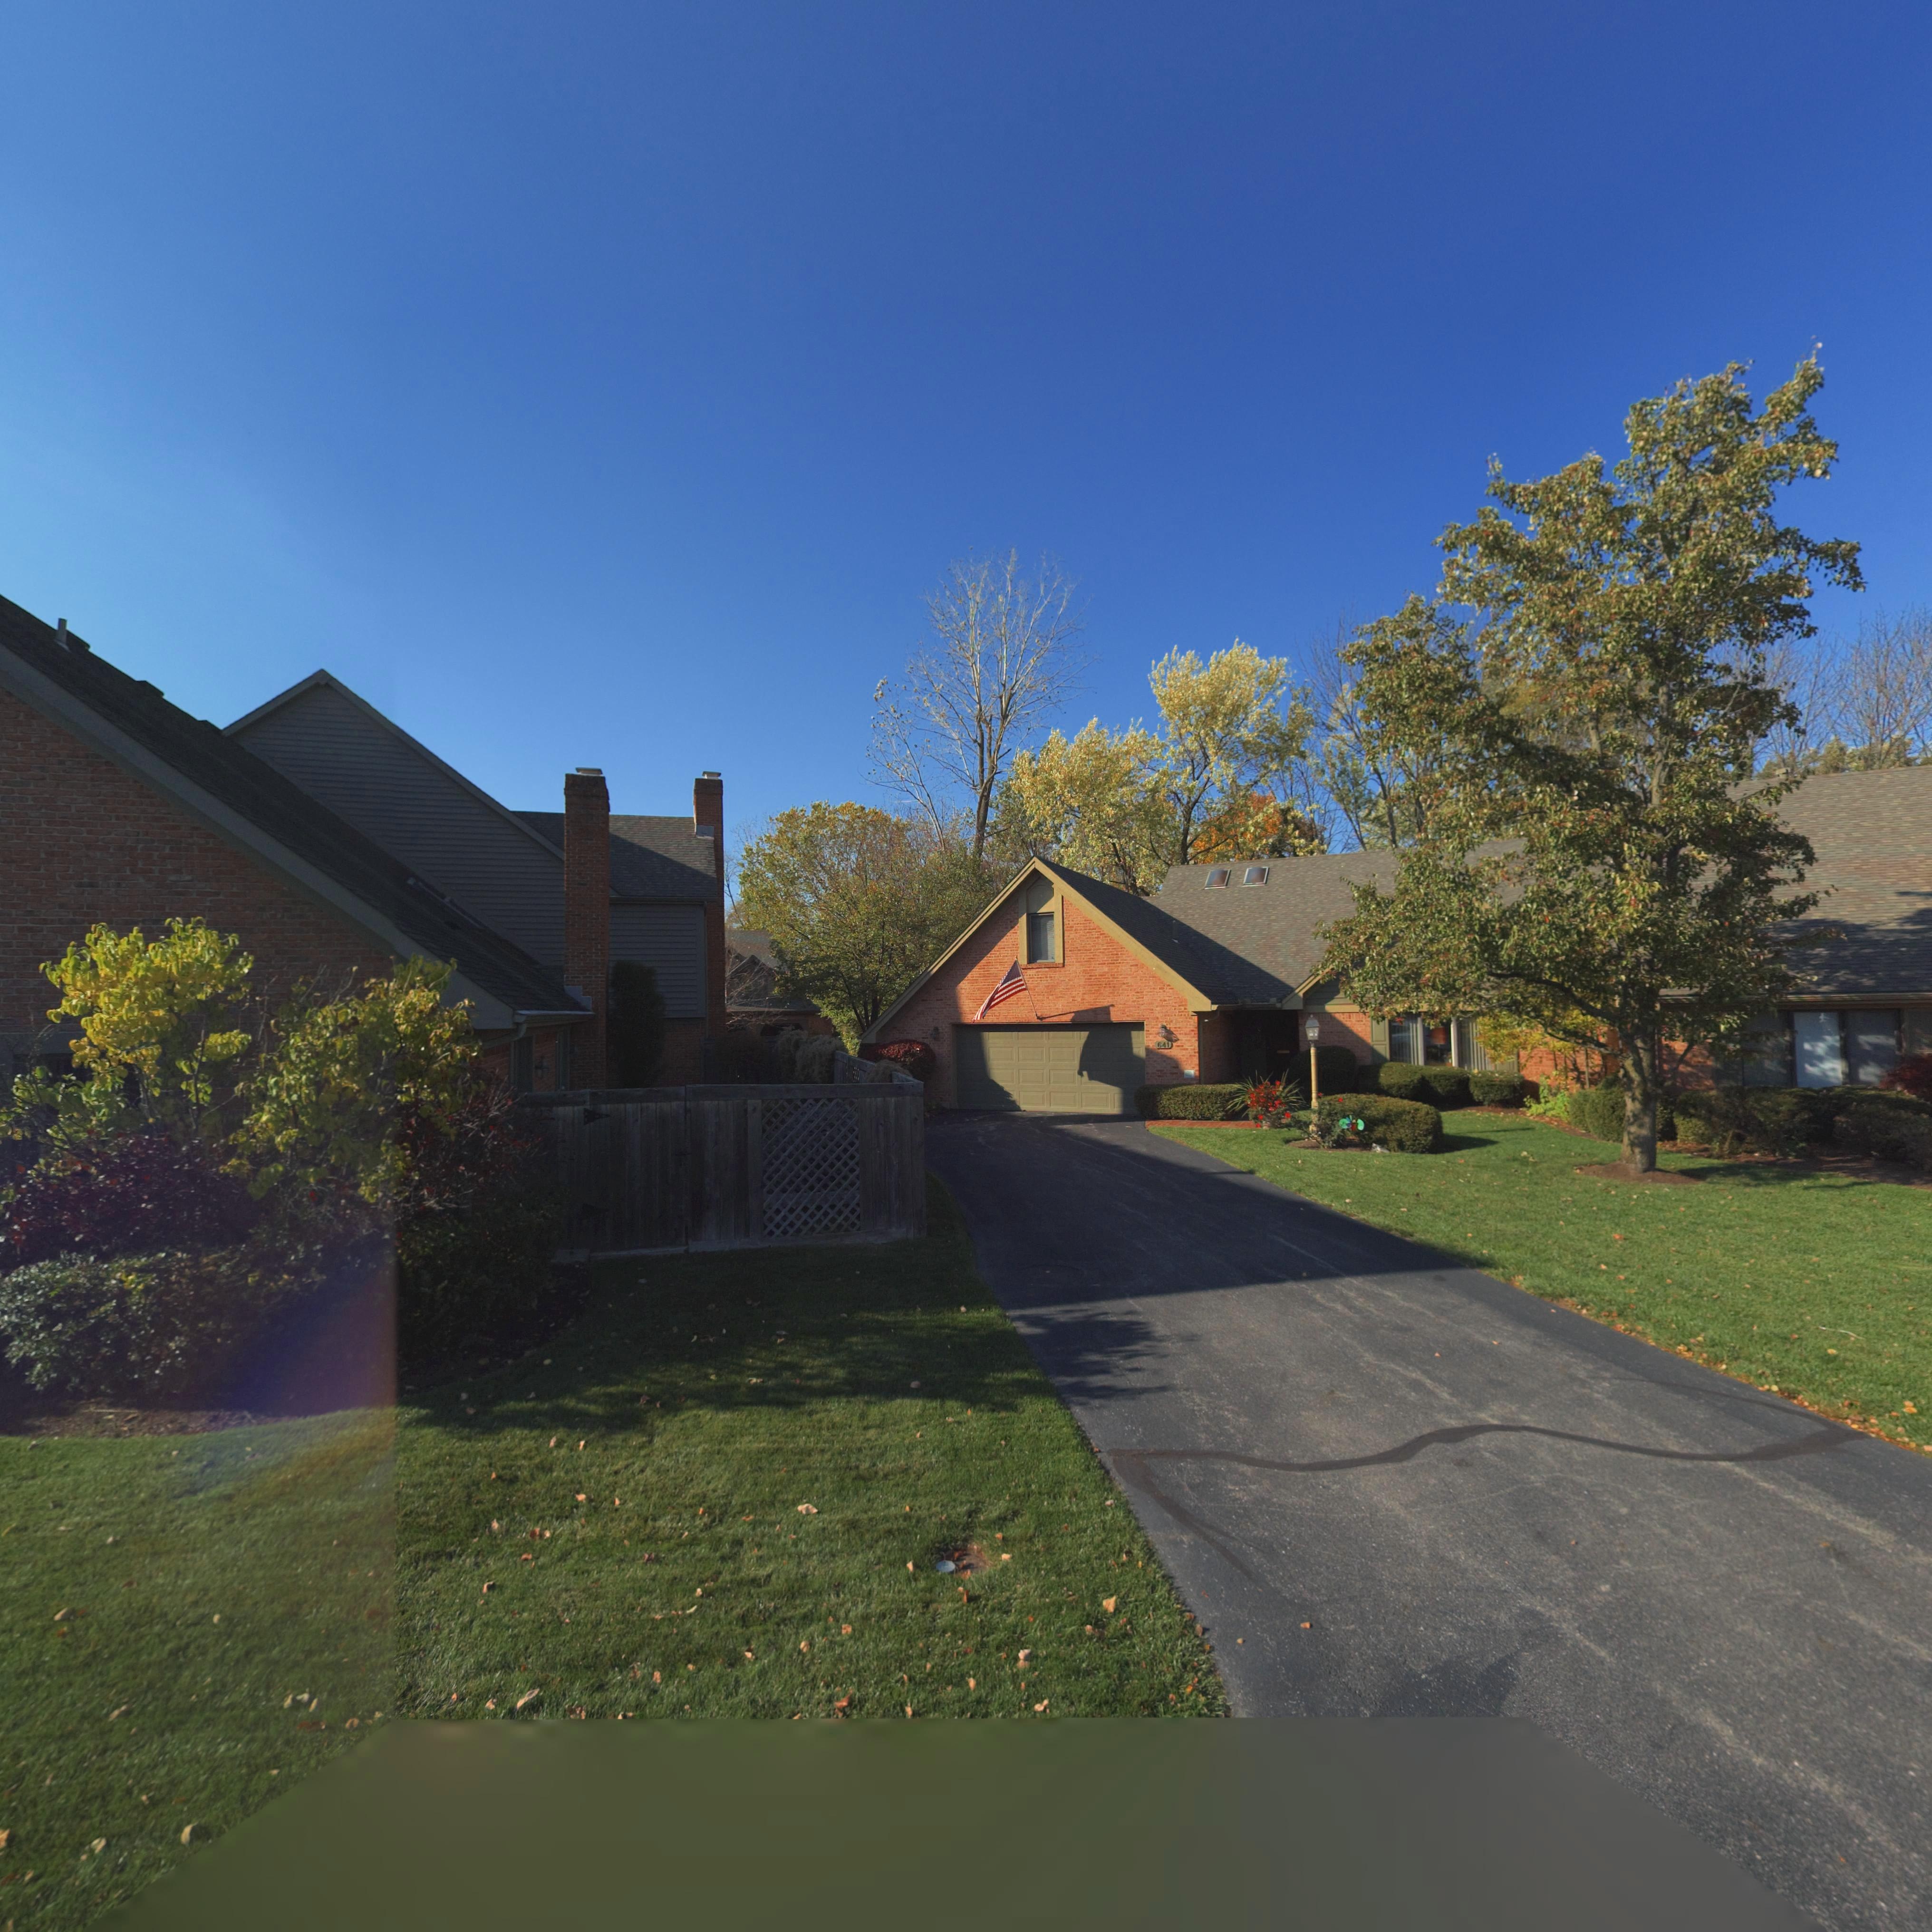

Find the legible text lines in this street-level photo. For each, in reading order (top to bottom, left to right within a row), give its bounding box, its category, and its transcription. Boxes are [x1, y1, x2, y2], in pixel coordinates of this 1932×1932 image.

[1157, 1042, 1169, 1049] StreetNumber: 641